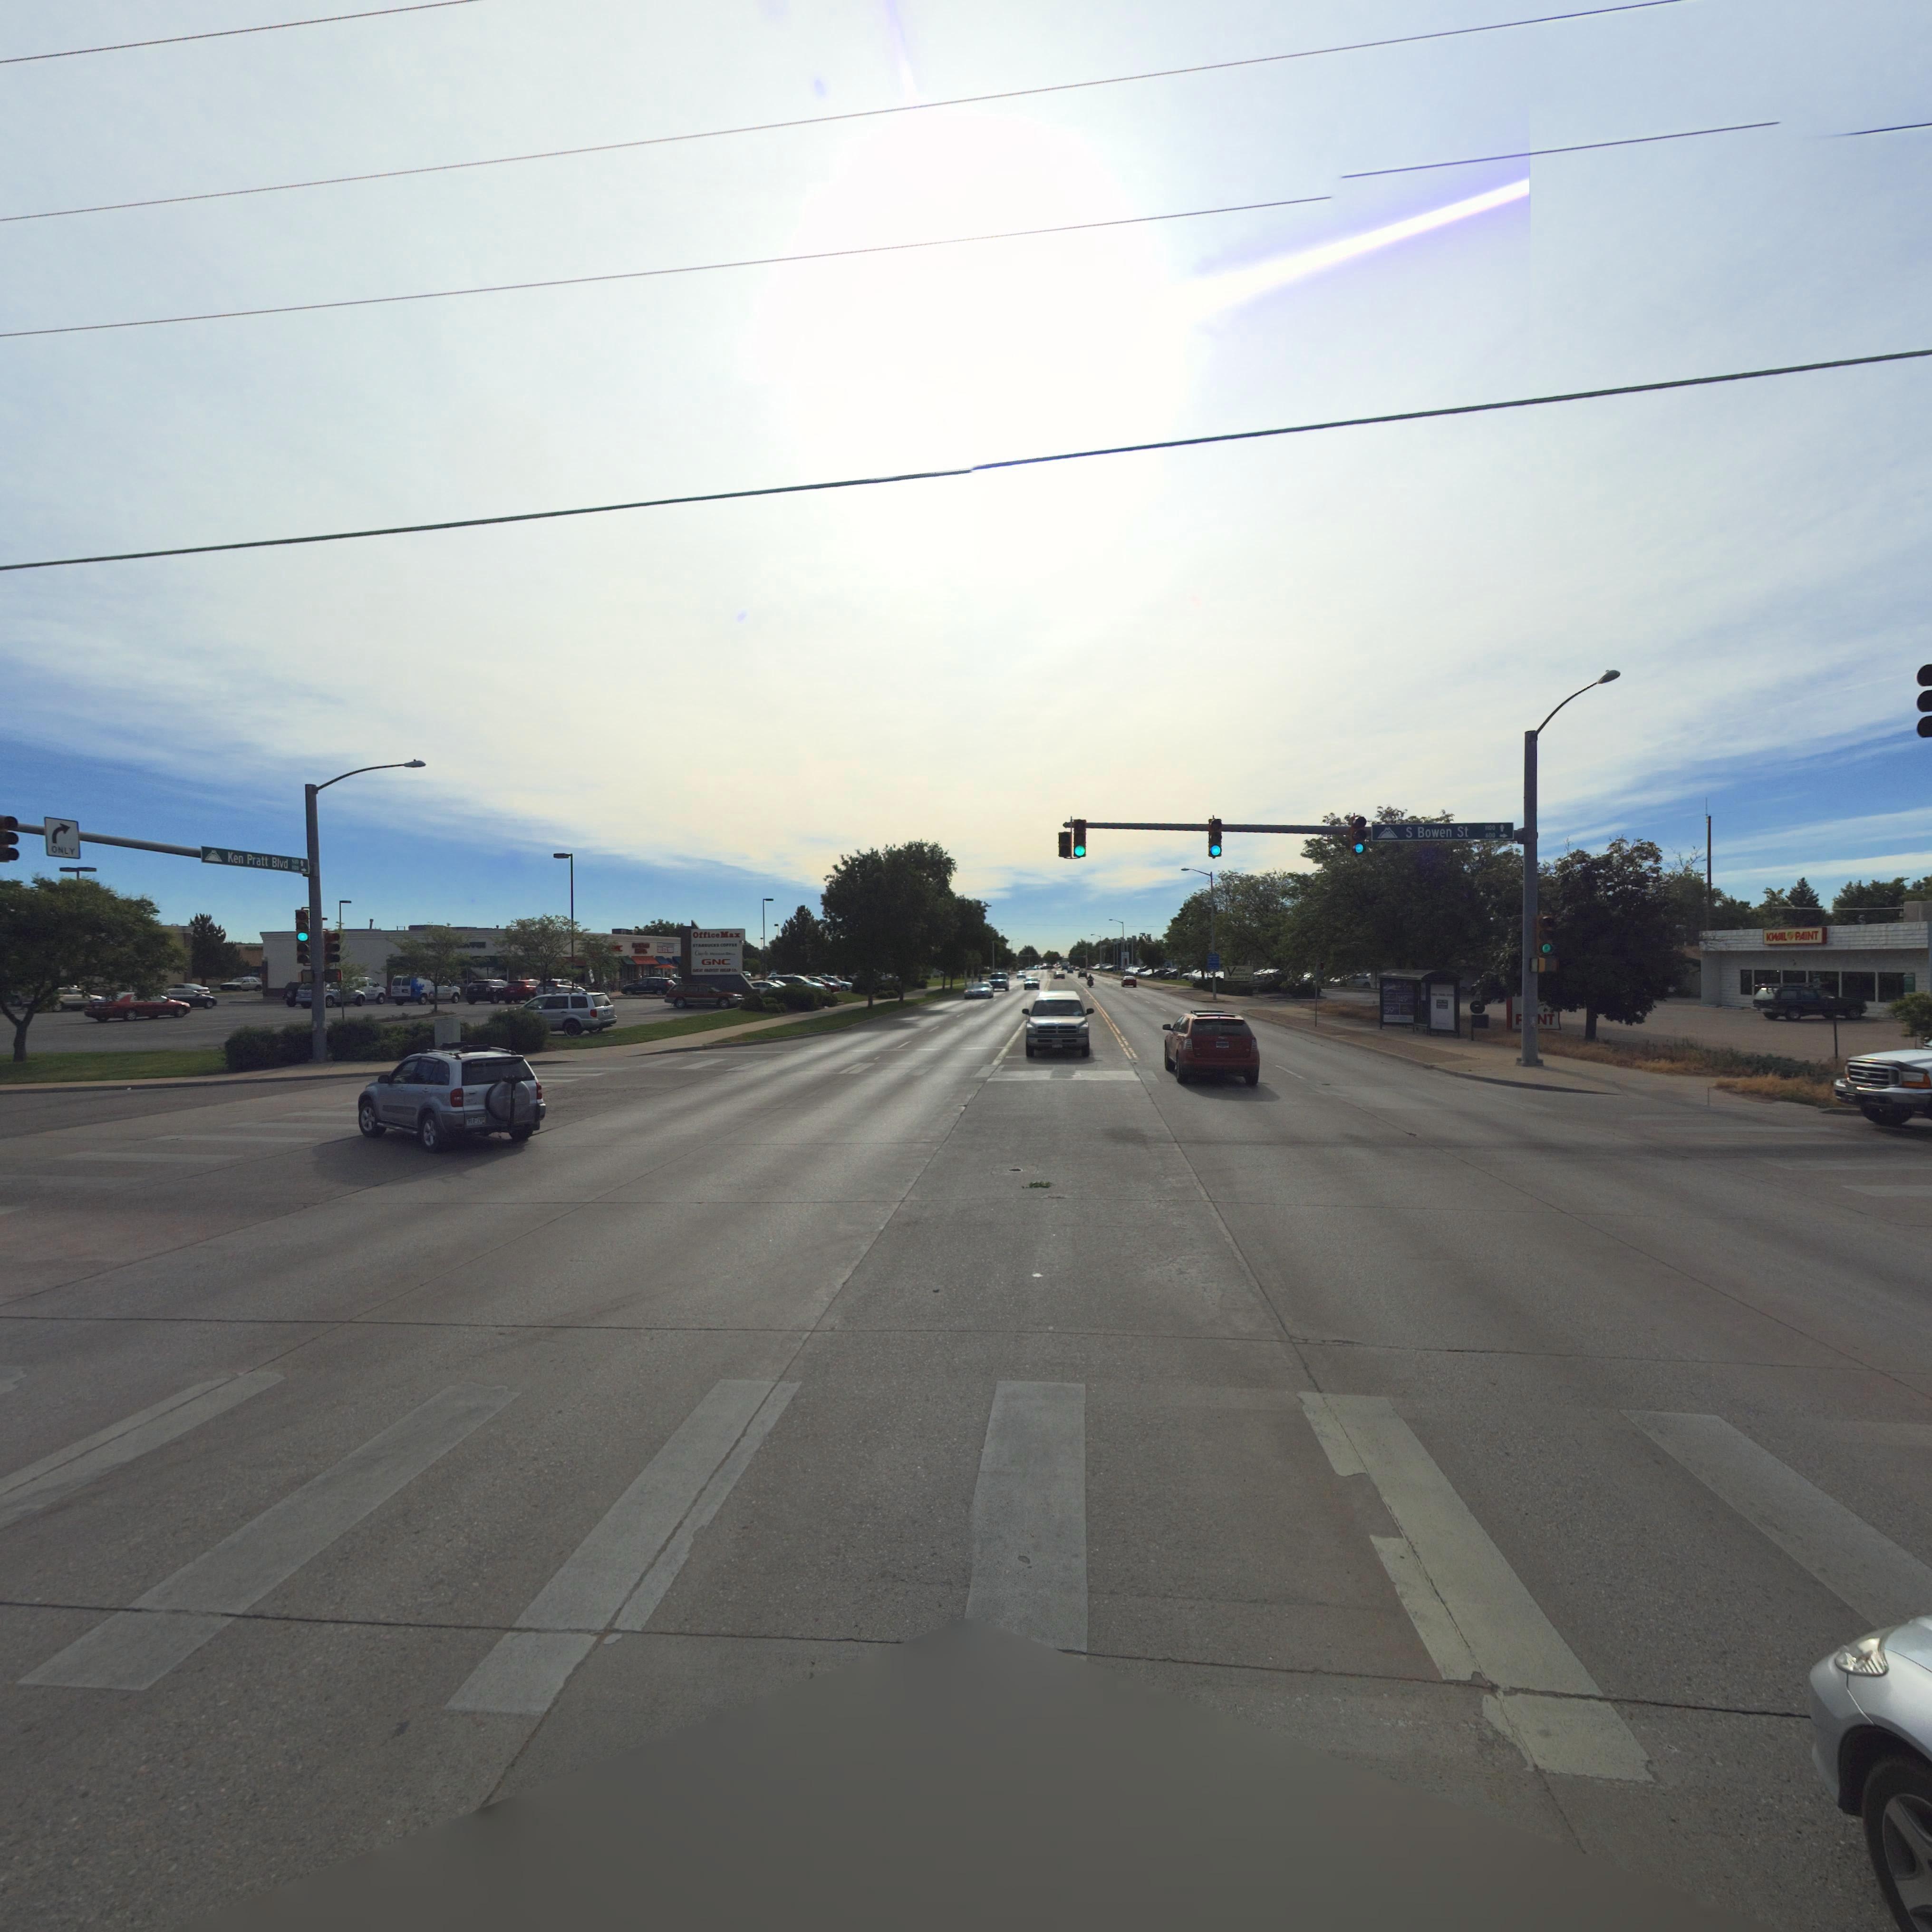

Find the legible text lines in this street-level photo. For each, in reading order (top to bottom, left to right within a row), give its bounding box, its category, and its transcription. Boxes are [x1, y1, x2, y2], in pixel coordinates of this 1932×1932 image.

[1484, 825, 1496, 831] StreetNumberRange: 1100
[1405, 825, 1470, 838] StreetName: S Bowen St
[1485, 832, 1508, 838] StreetNumberRange: 600->
[227, 851, 289, 869] StreetName: Ken Pratt Blvd
[291, 859, 299, 865] StreetNumberRange: 5*0
[291, 865, 307, 872] StreetNumberRange: ***0->
[692, 931, 740, 938] BusinessName: Office Max
[1766, 930, 1819, 941] BusinessName: KWAL PAINT
[618, 945, 623, 952] BusinessName: C
[692, 943, 737, 947] BusinessName: S*A**UC*S CO****
[694, 949, 709, 957] BusinessName: C*******
[701, 958, 731, 965] BusinessName: GNC
[692, 968, 738, 972] BusinessName: G**AT ***VEST **EAD CO.
[1226, 966, 1236, 976] BusinessName: V
[1235, 967, 1246, 972] BusinessName: ****y
[1232, 971, 1252, 977] BusinessName: *******y
[1515, 1013, 1555, 1025] BusinessName: ***NT